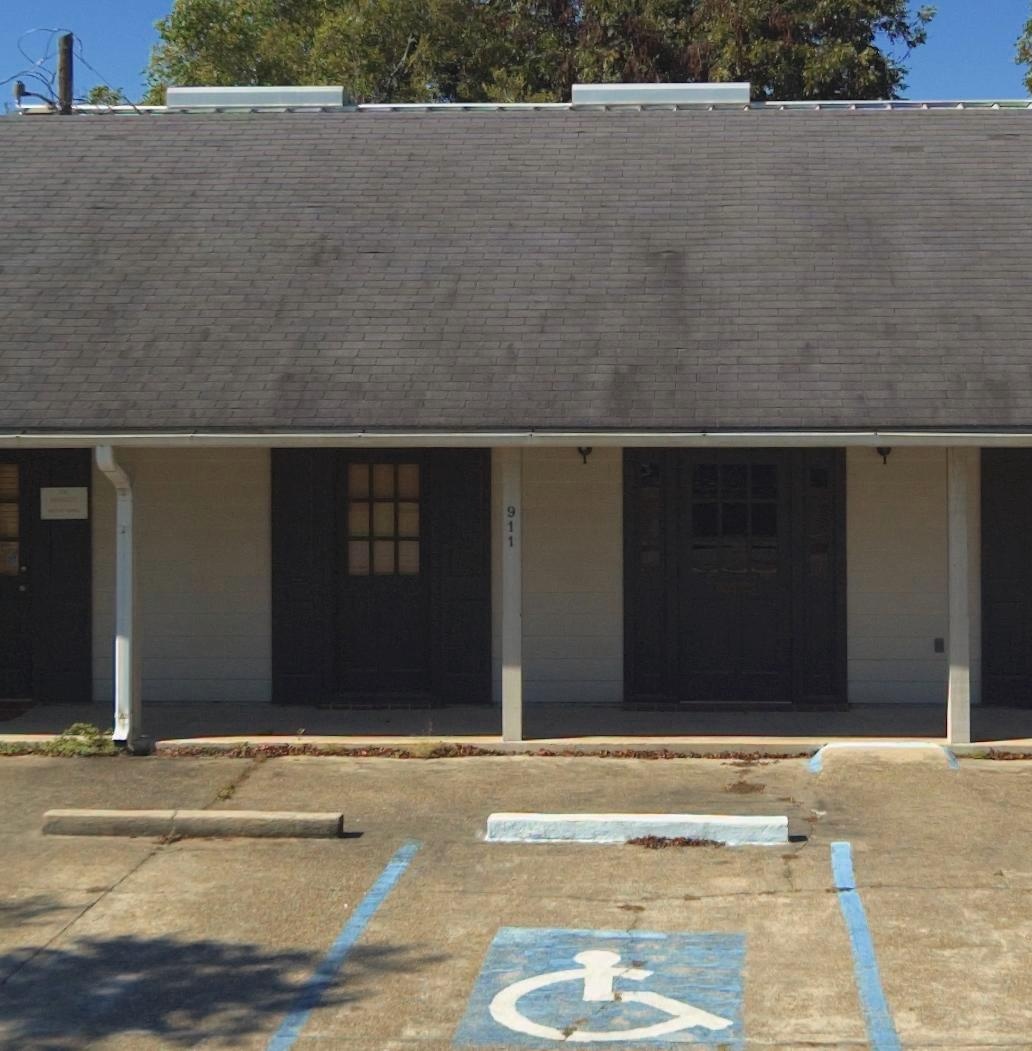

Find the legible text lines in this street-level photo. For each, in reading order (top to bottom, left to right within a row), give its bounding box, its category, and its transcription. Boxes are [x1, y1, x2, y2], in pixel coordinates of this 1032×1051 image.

[506, 505, 516, 548] StreetNumber: 911